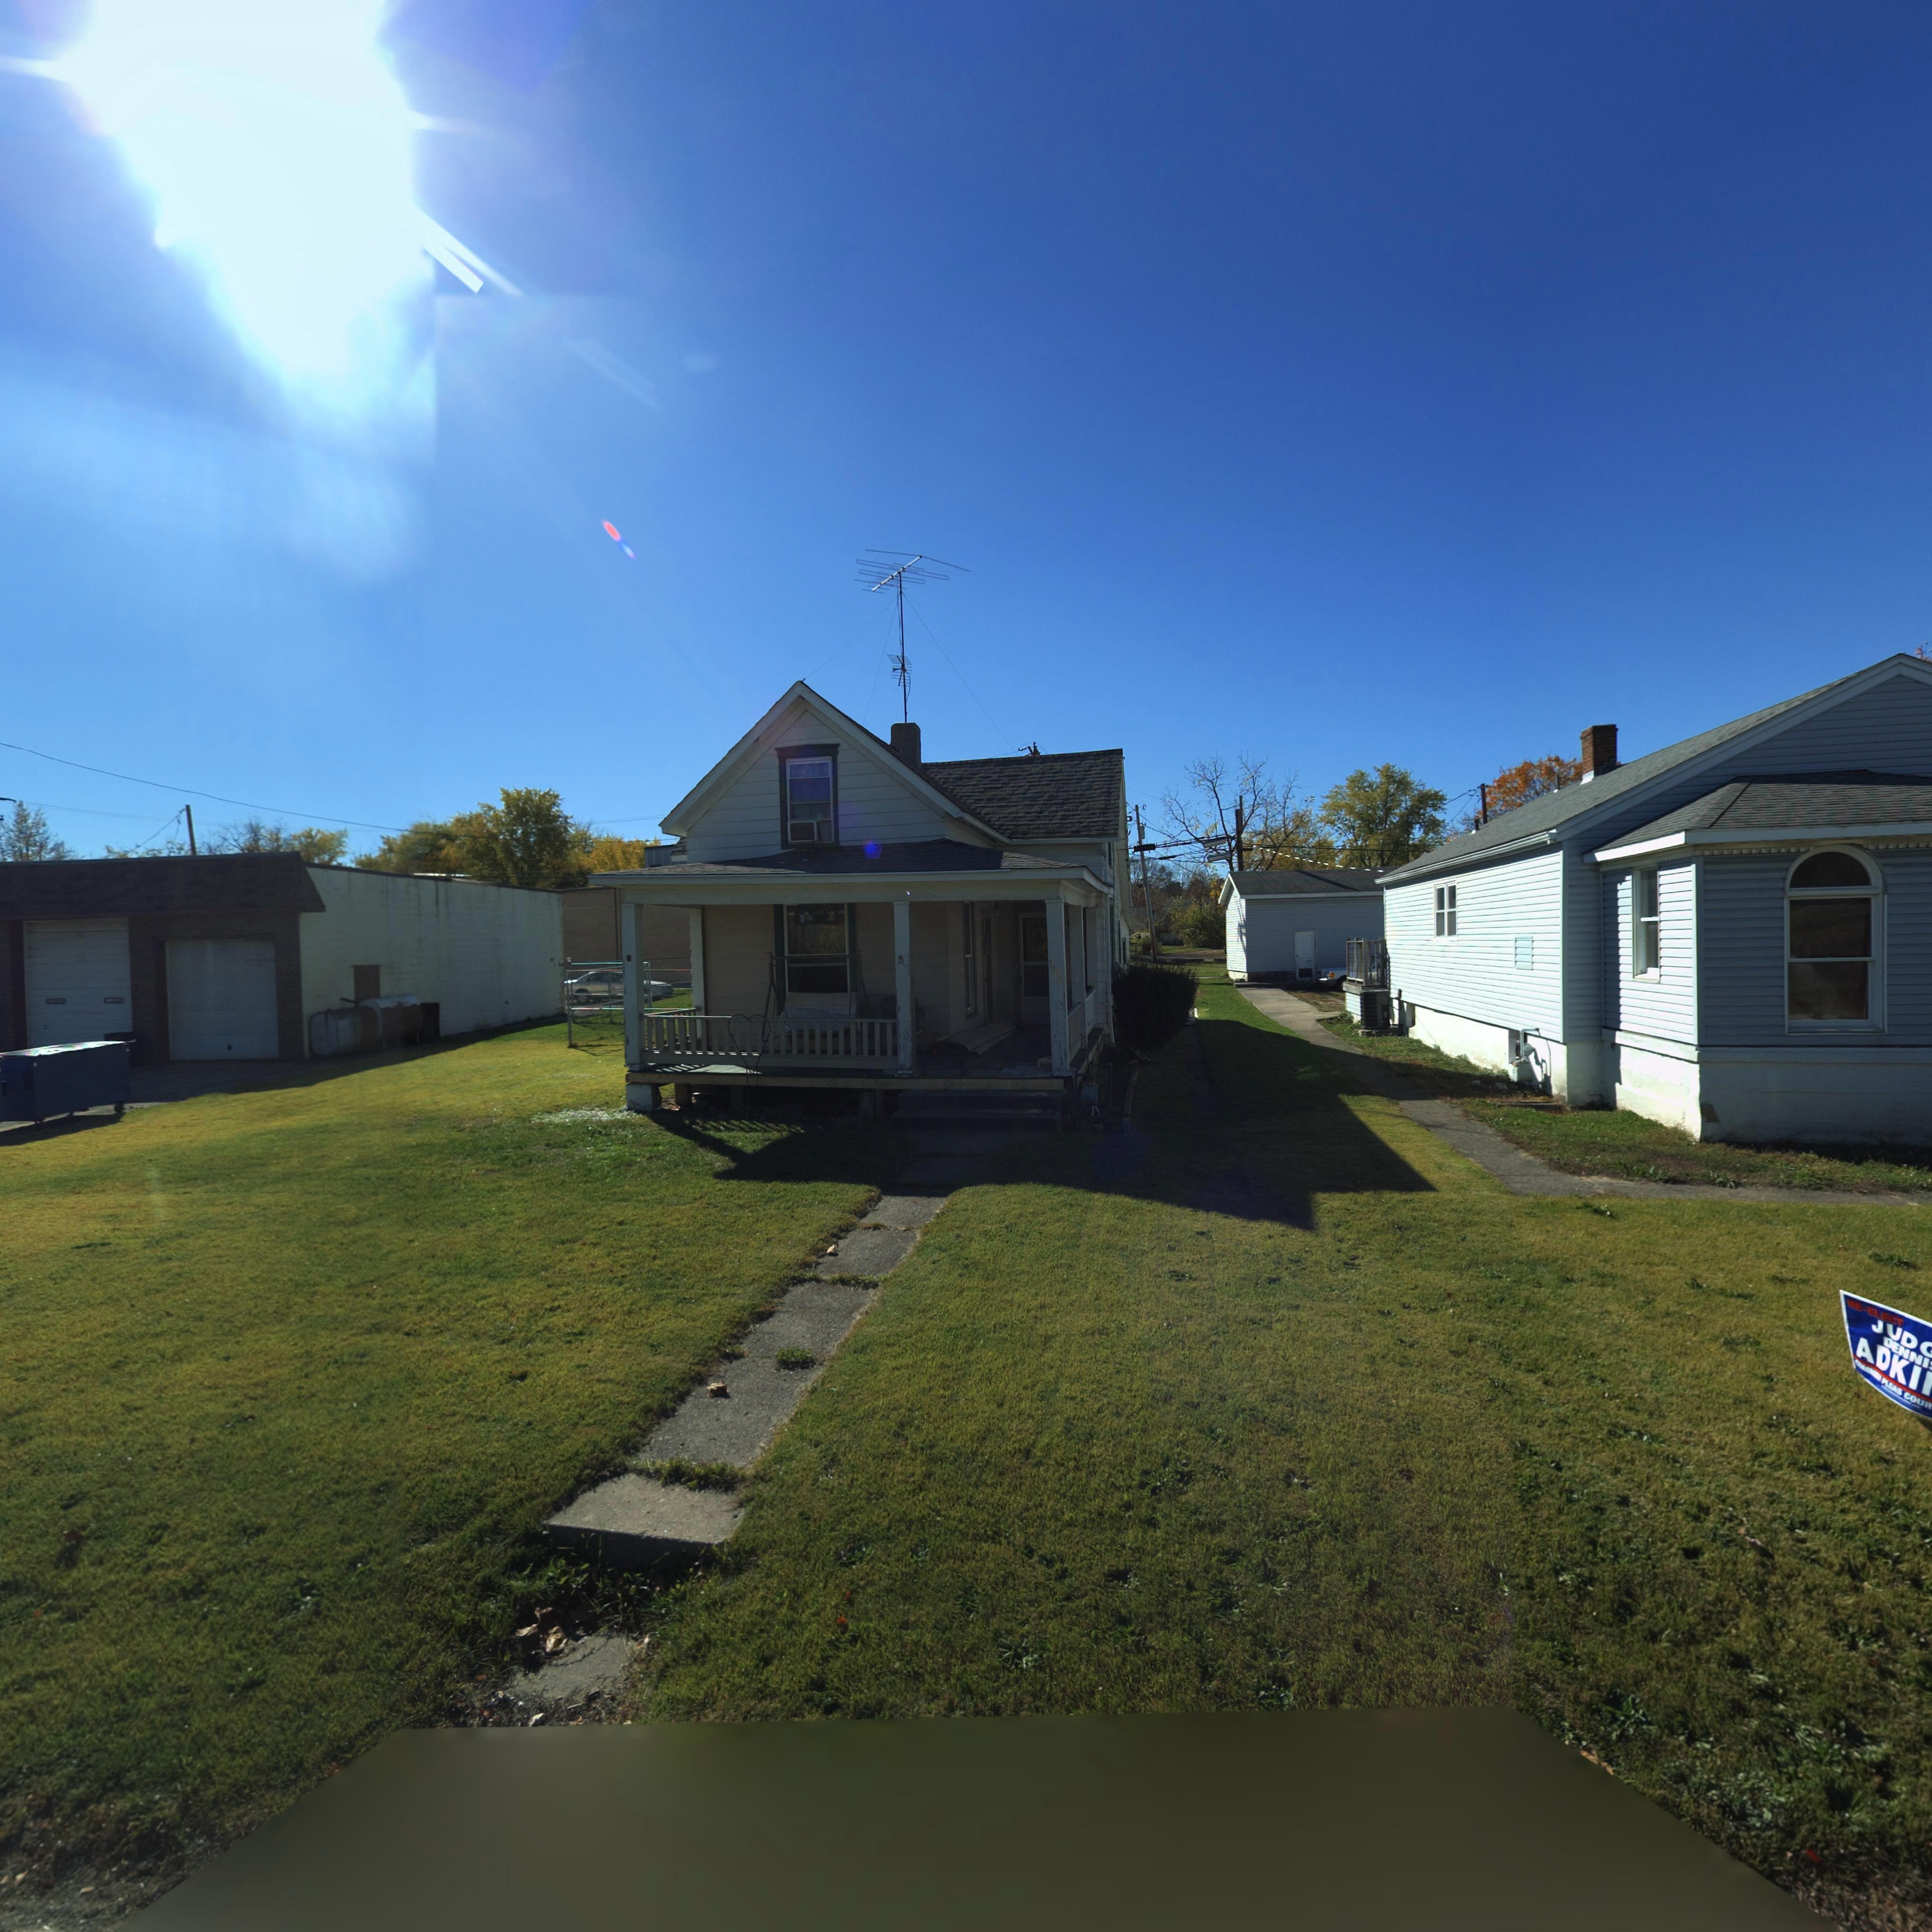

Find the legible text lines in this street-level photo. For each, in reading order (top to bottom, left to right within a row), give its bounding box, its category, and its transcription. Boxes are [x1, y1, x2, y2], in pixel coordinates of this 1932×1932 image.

[1048, 958, 1064, 985] StreetNumber: 1**
[1846, 1298, 1906, 1329] None: RE-ELECT
[1870, 1318, 1920, 1350] None: JUD
[1854, 1334, 1924, 1393] None: ADKI
[1883, 1335, 1931, 1371] None: DENNI
[1879, 1375, 1932, 1411] None: PLEAS COUR